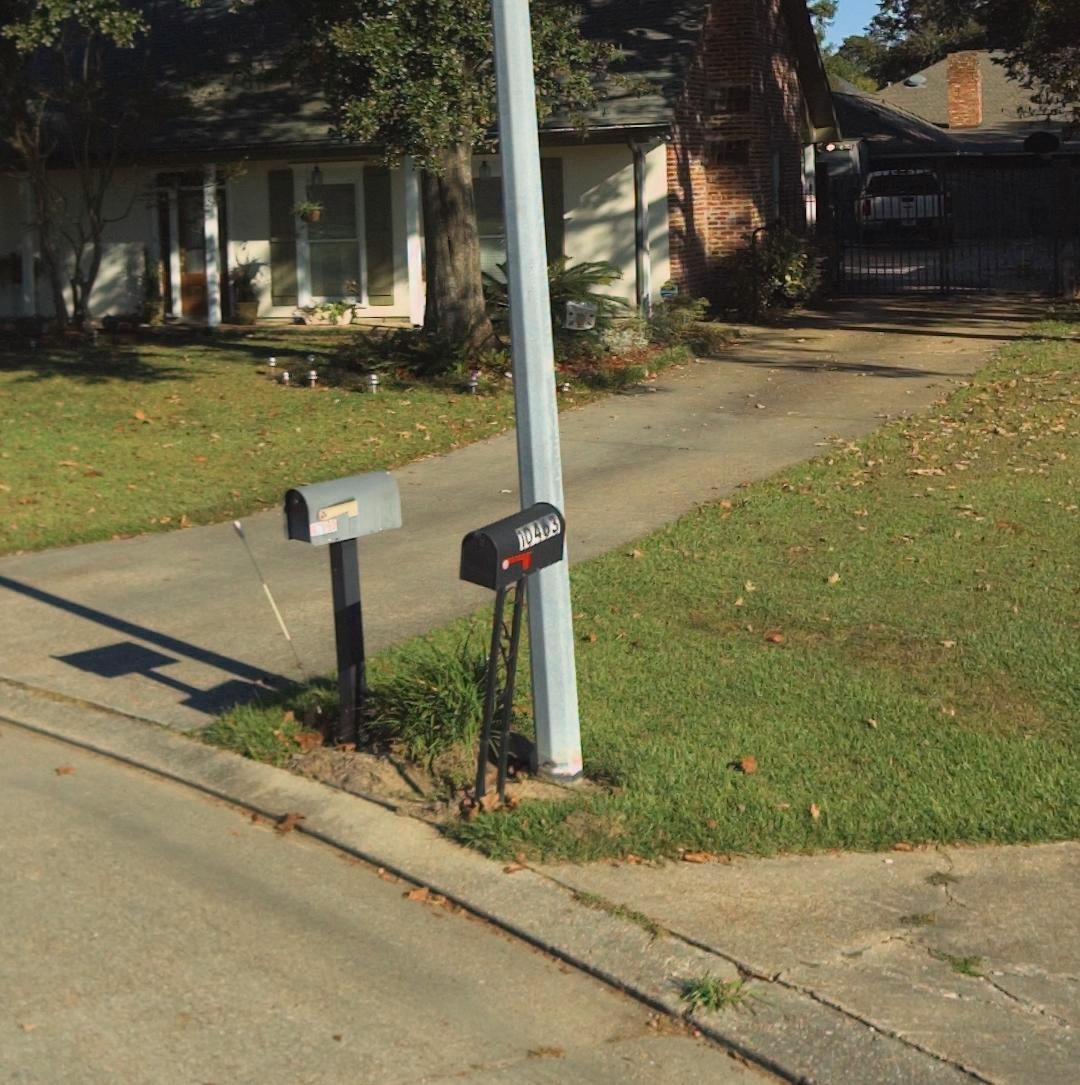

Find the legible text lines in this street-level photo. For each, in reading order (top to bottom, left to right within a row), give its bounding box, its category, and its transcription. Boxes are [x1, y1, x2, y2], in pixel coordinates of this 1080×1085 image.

[514, 510, 561, 553] StreetNumber: 10463